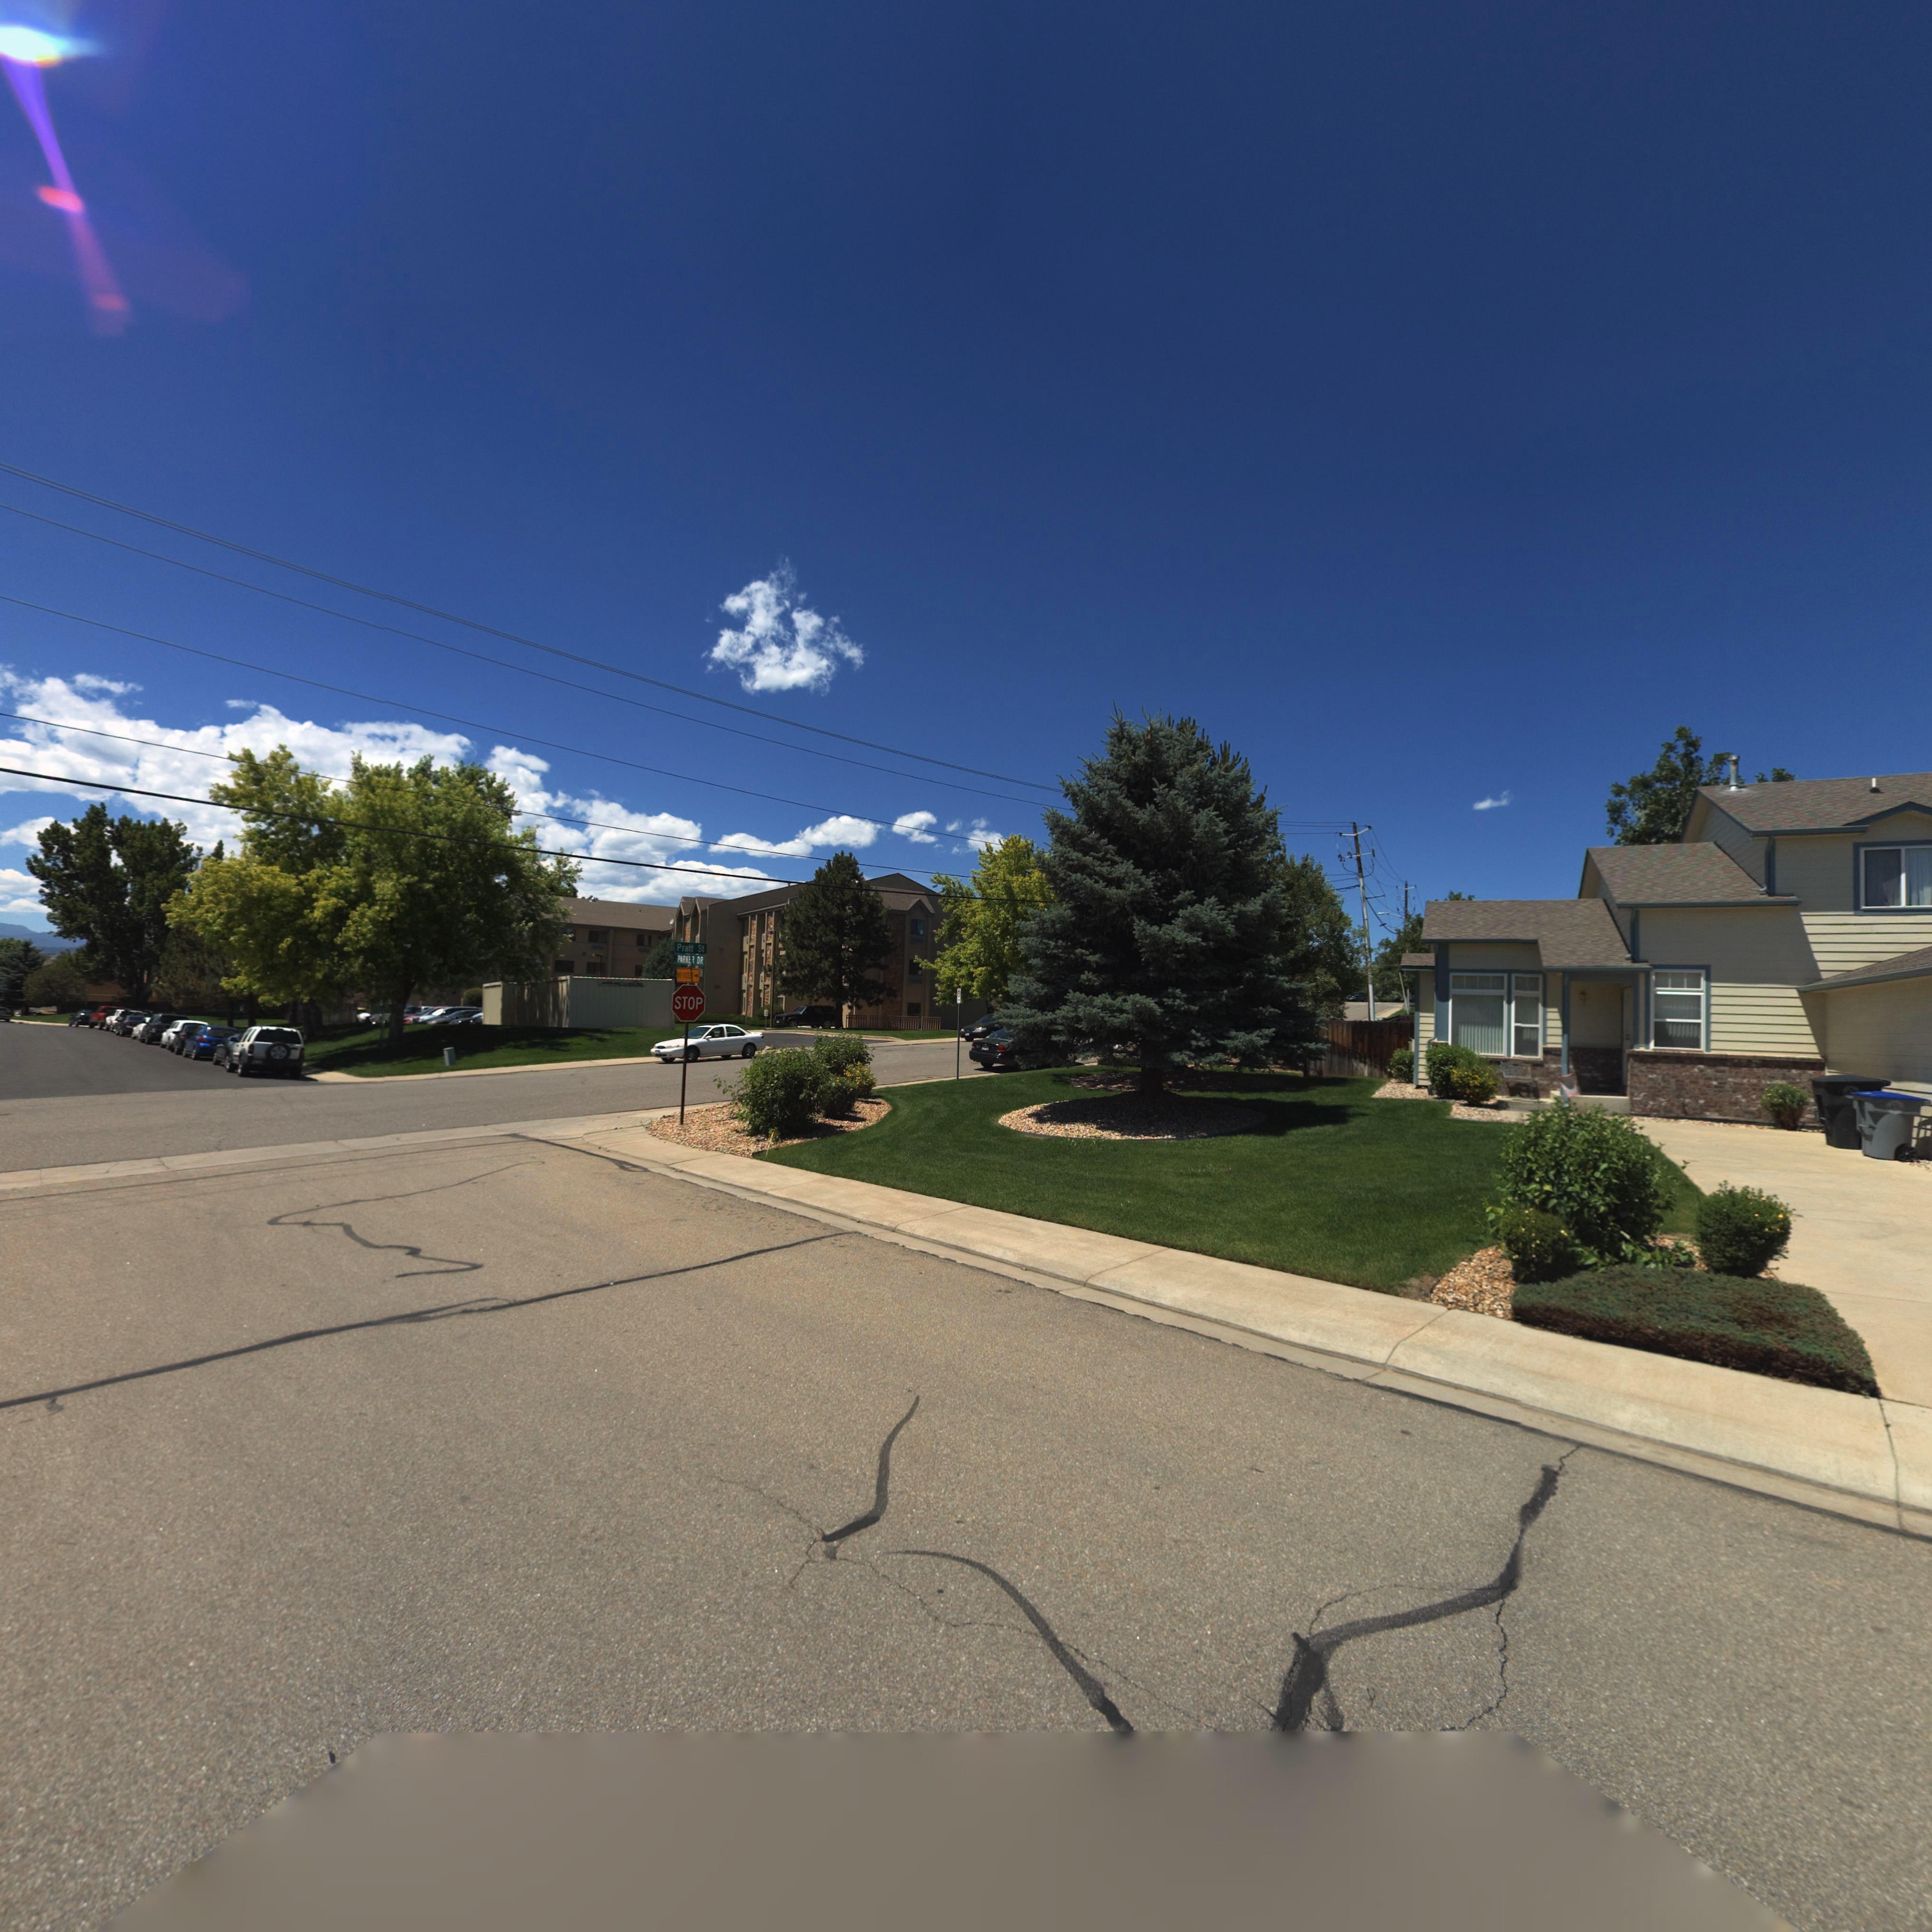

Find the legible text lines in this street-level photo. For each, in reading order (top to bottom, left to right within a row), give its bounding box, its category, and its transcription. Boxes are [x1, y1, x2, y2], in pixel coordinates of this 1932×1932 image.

[676, 943, 705, 953] StreetName: Pratt St
[677, 955, 704, 965] BusinessName: PARKER DR